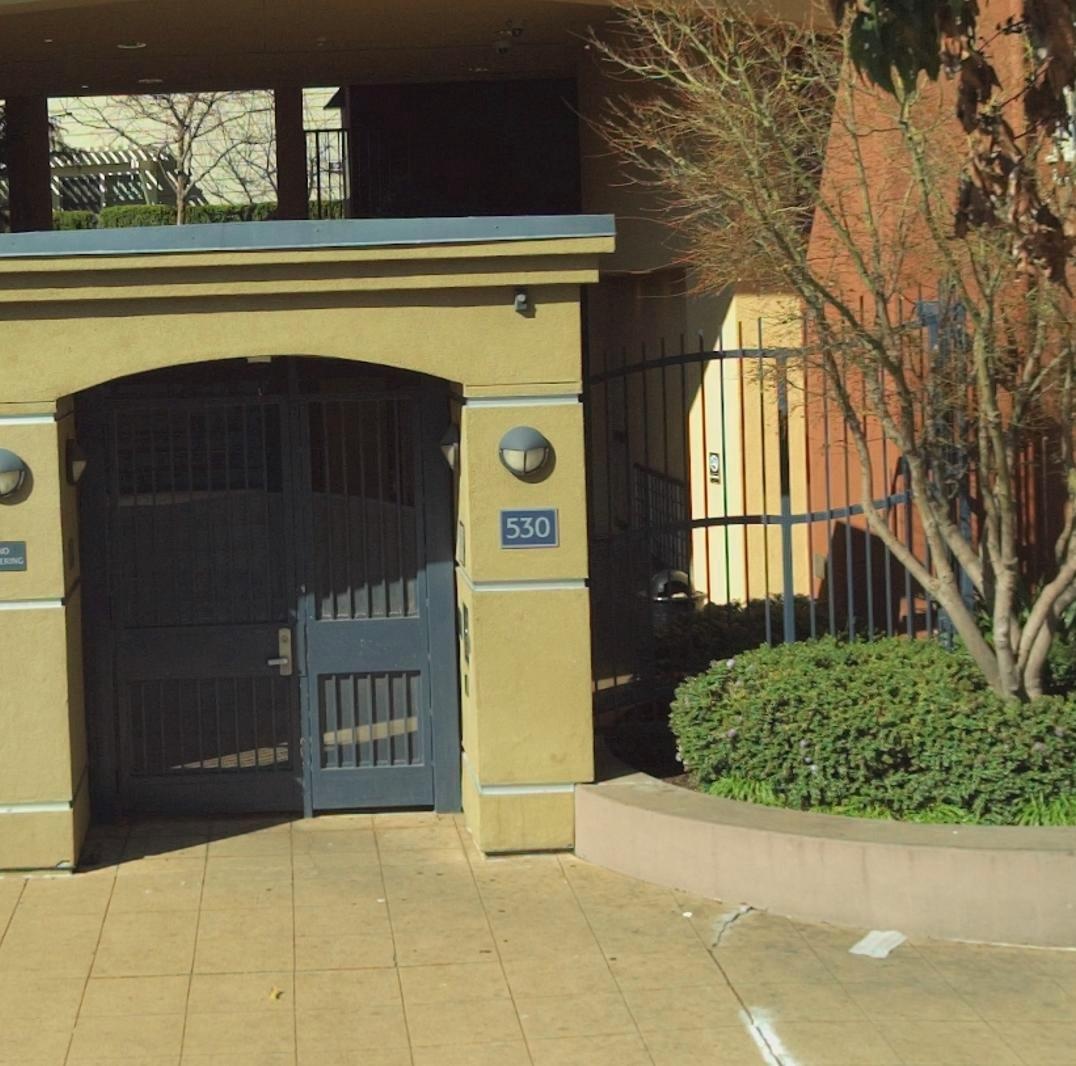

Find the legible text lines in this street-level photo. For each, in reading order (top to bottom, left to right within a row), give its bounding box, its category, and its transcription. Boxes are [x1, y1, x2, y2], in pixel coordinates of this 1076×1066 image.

[504, 514, 552, 541] StreetNumber: 530
[1, 546, 10, 556] None: O
[2, 556, 25, 566] None: RING